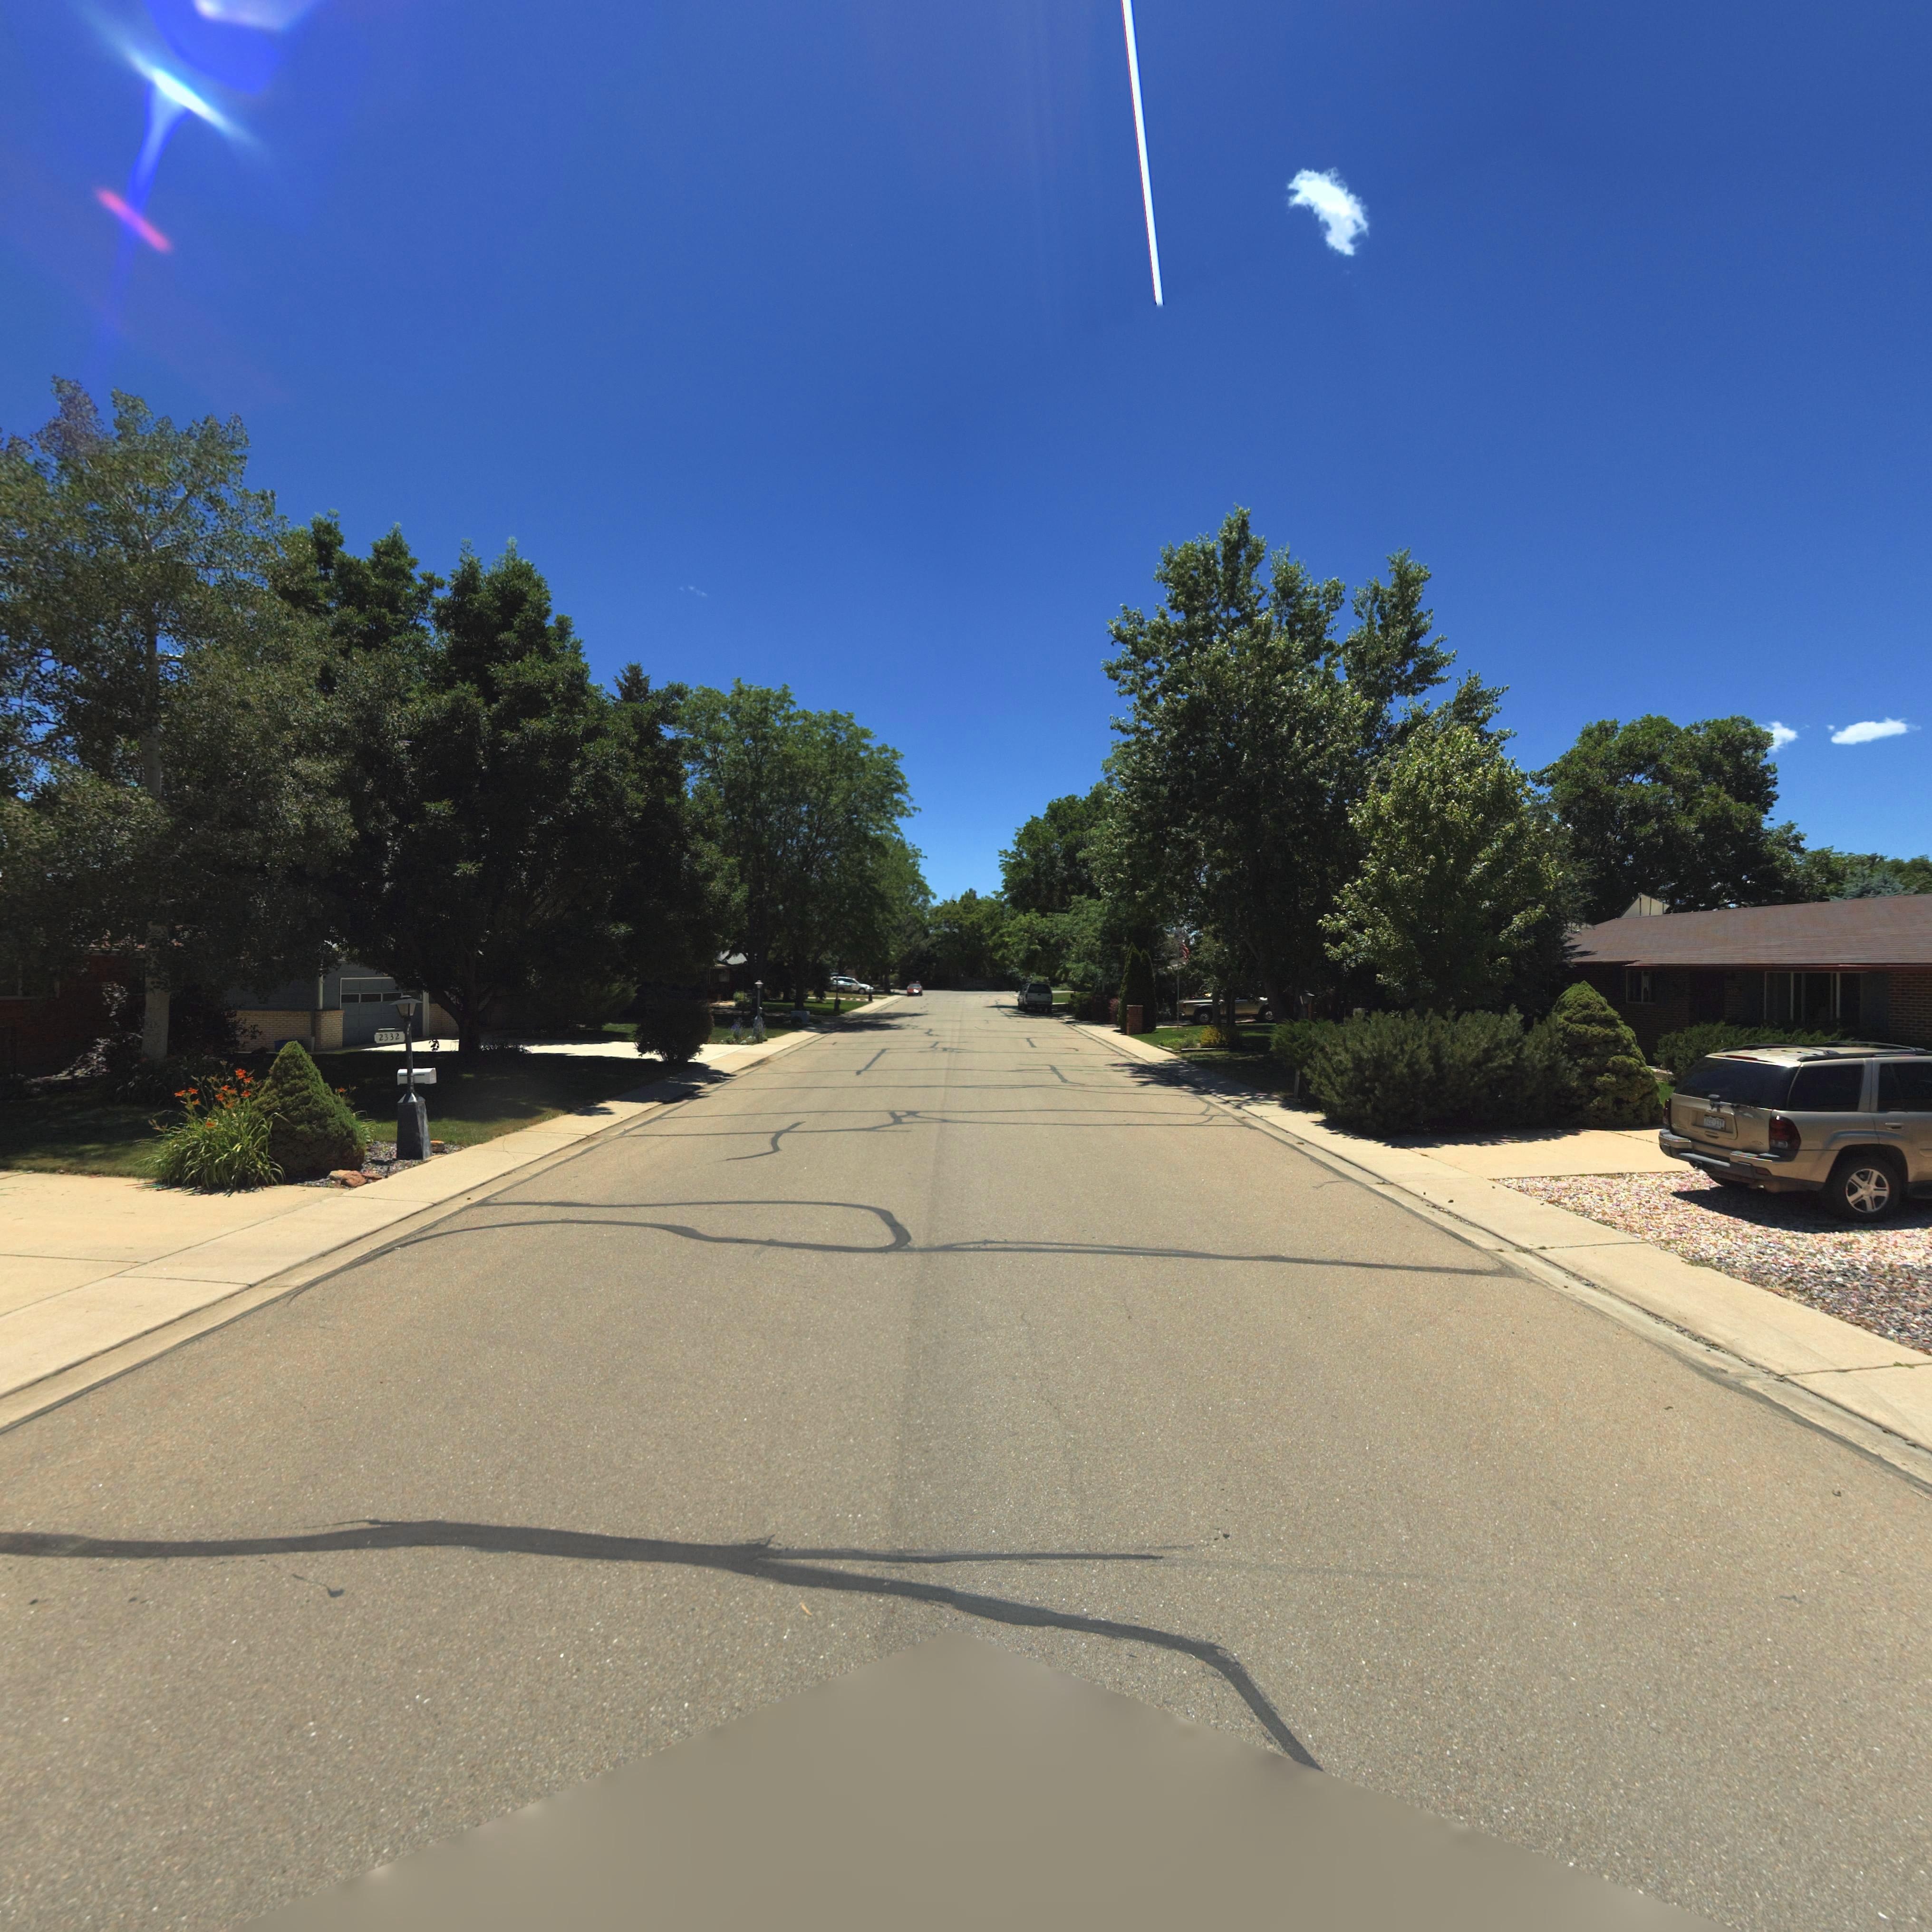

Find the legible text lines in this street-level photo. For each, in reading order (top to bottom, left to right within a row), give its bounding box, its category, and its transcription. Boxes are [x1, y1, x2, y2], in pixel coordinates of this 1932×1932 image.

[378, 1032, 400, 1042] StreetNumber: 2332